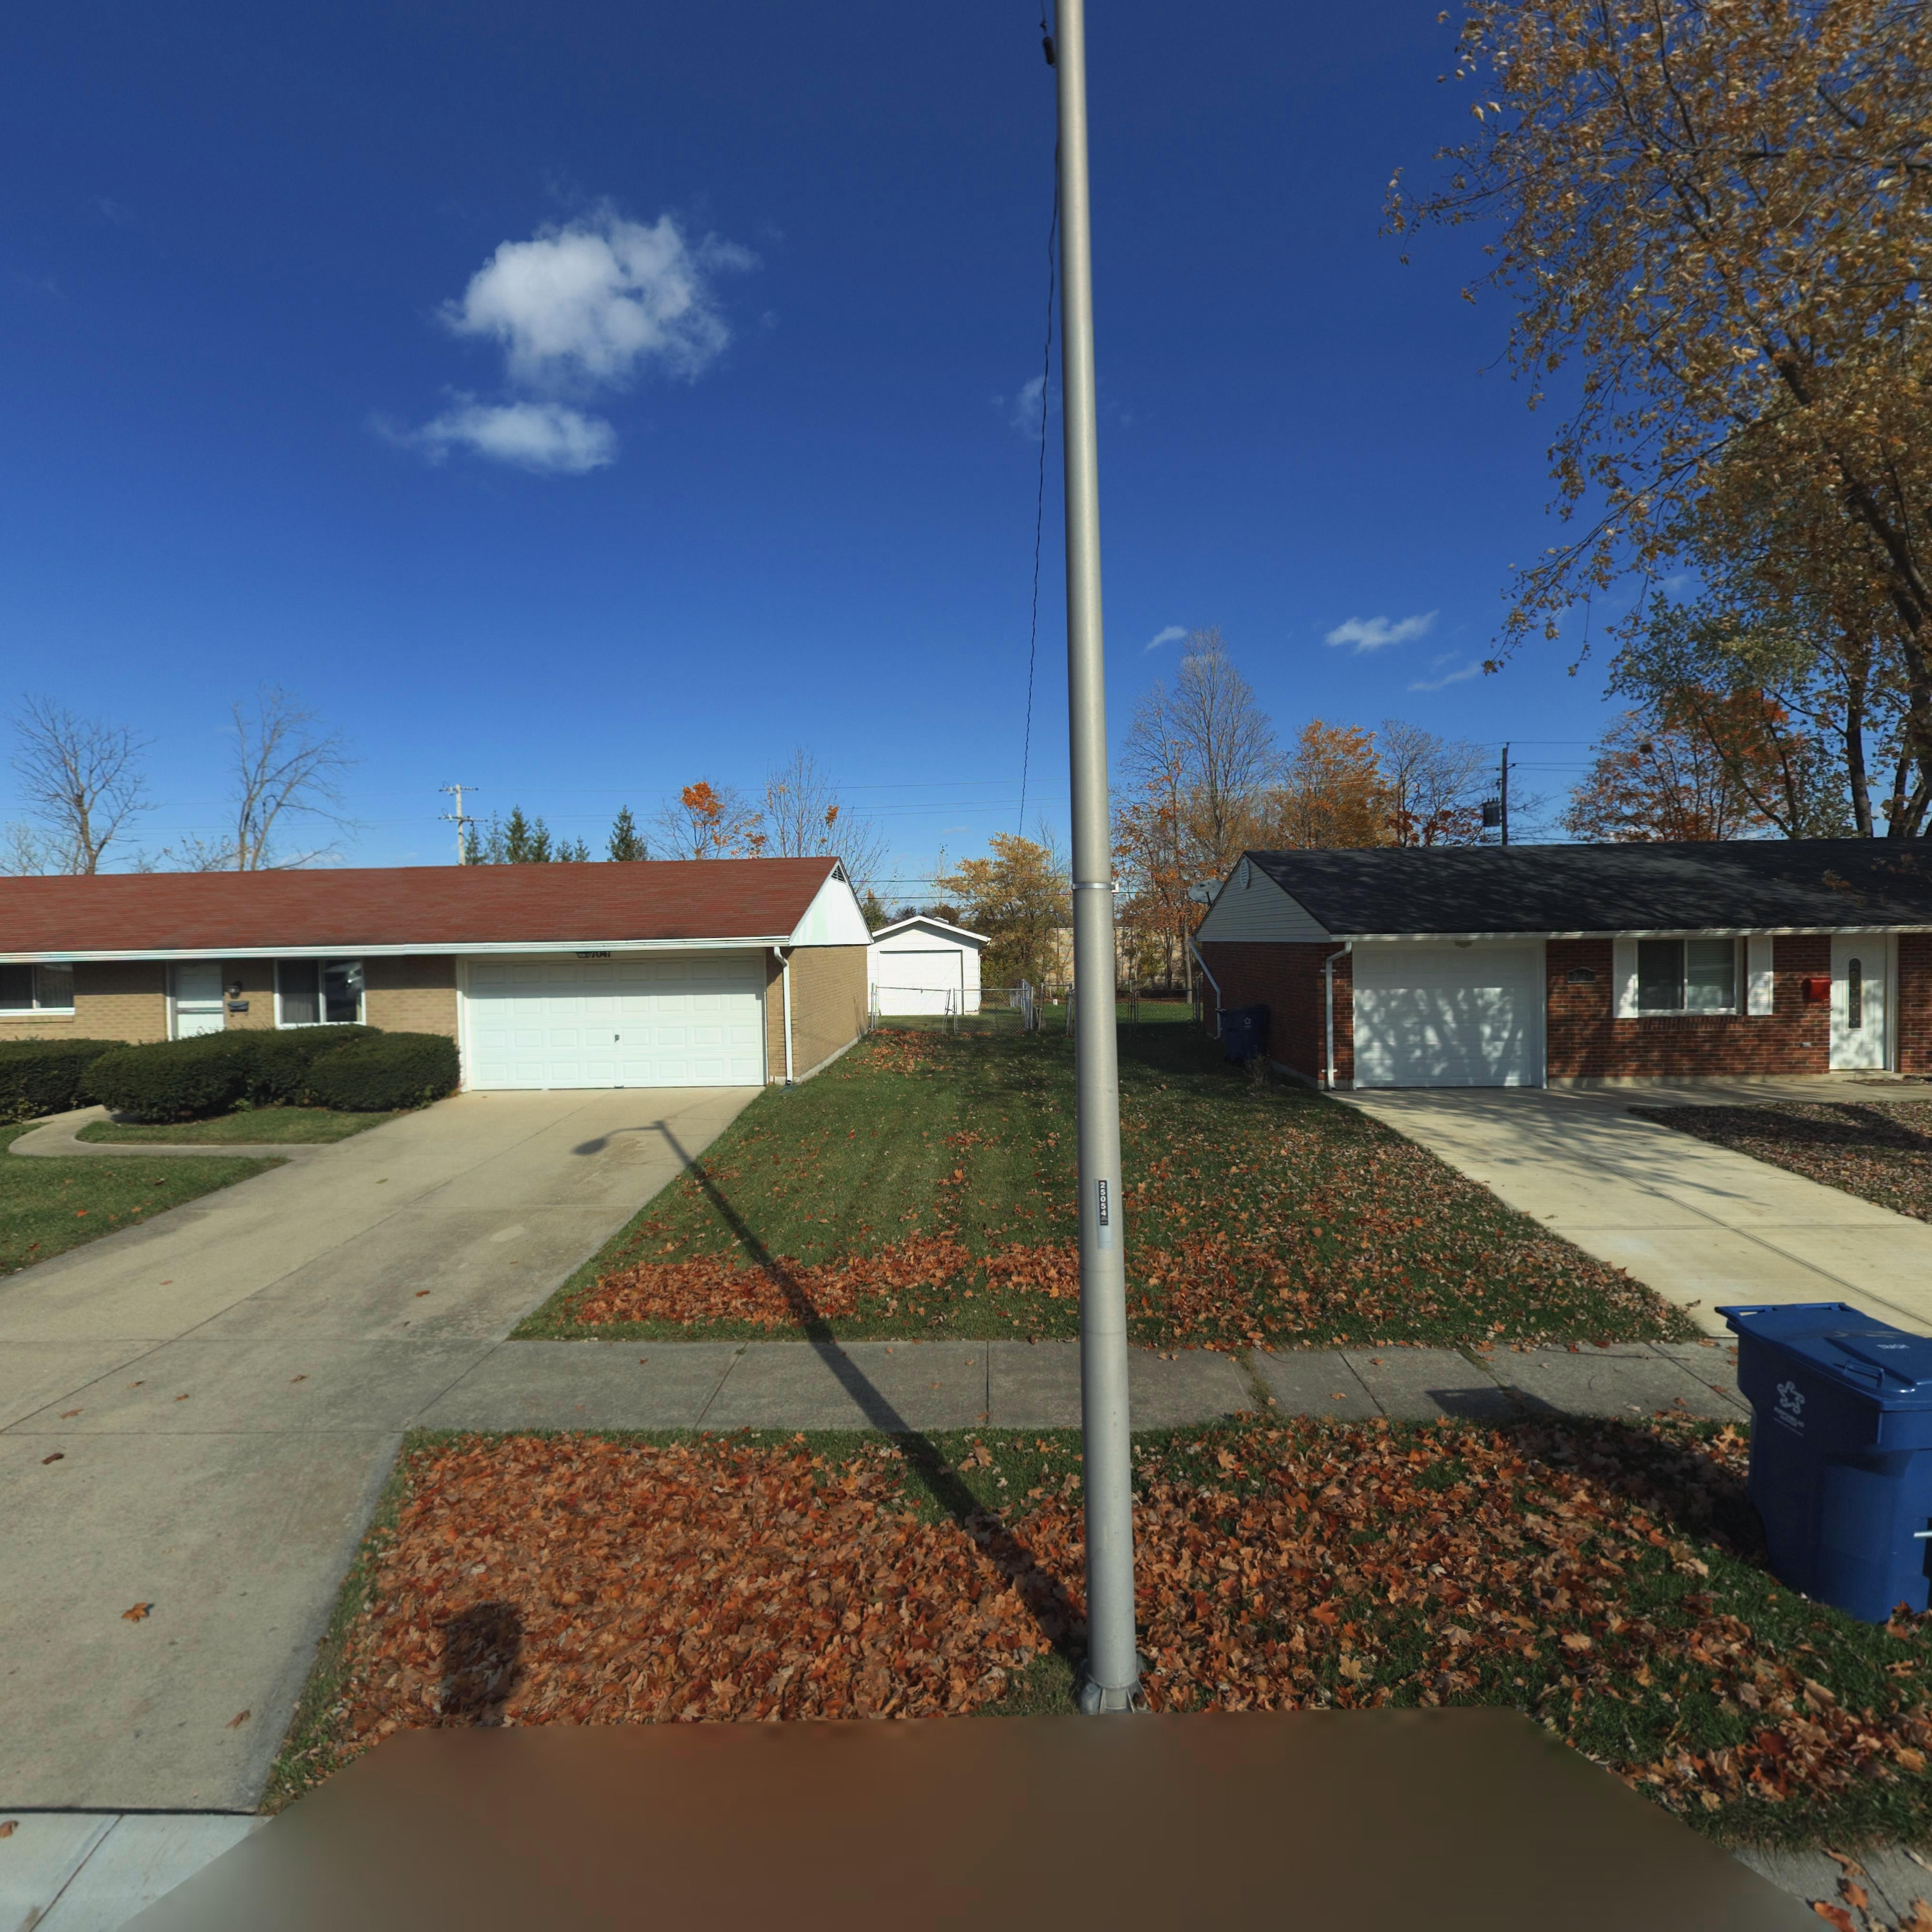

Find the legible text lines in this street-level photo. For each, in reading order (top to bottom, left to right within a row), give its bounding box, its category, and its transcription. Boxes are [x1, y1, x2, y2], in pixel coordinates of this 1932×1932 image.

[1572, 970, 1591, 982] StreetNumber: 7*5*